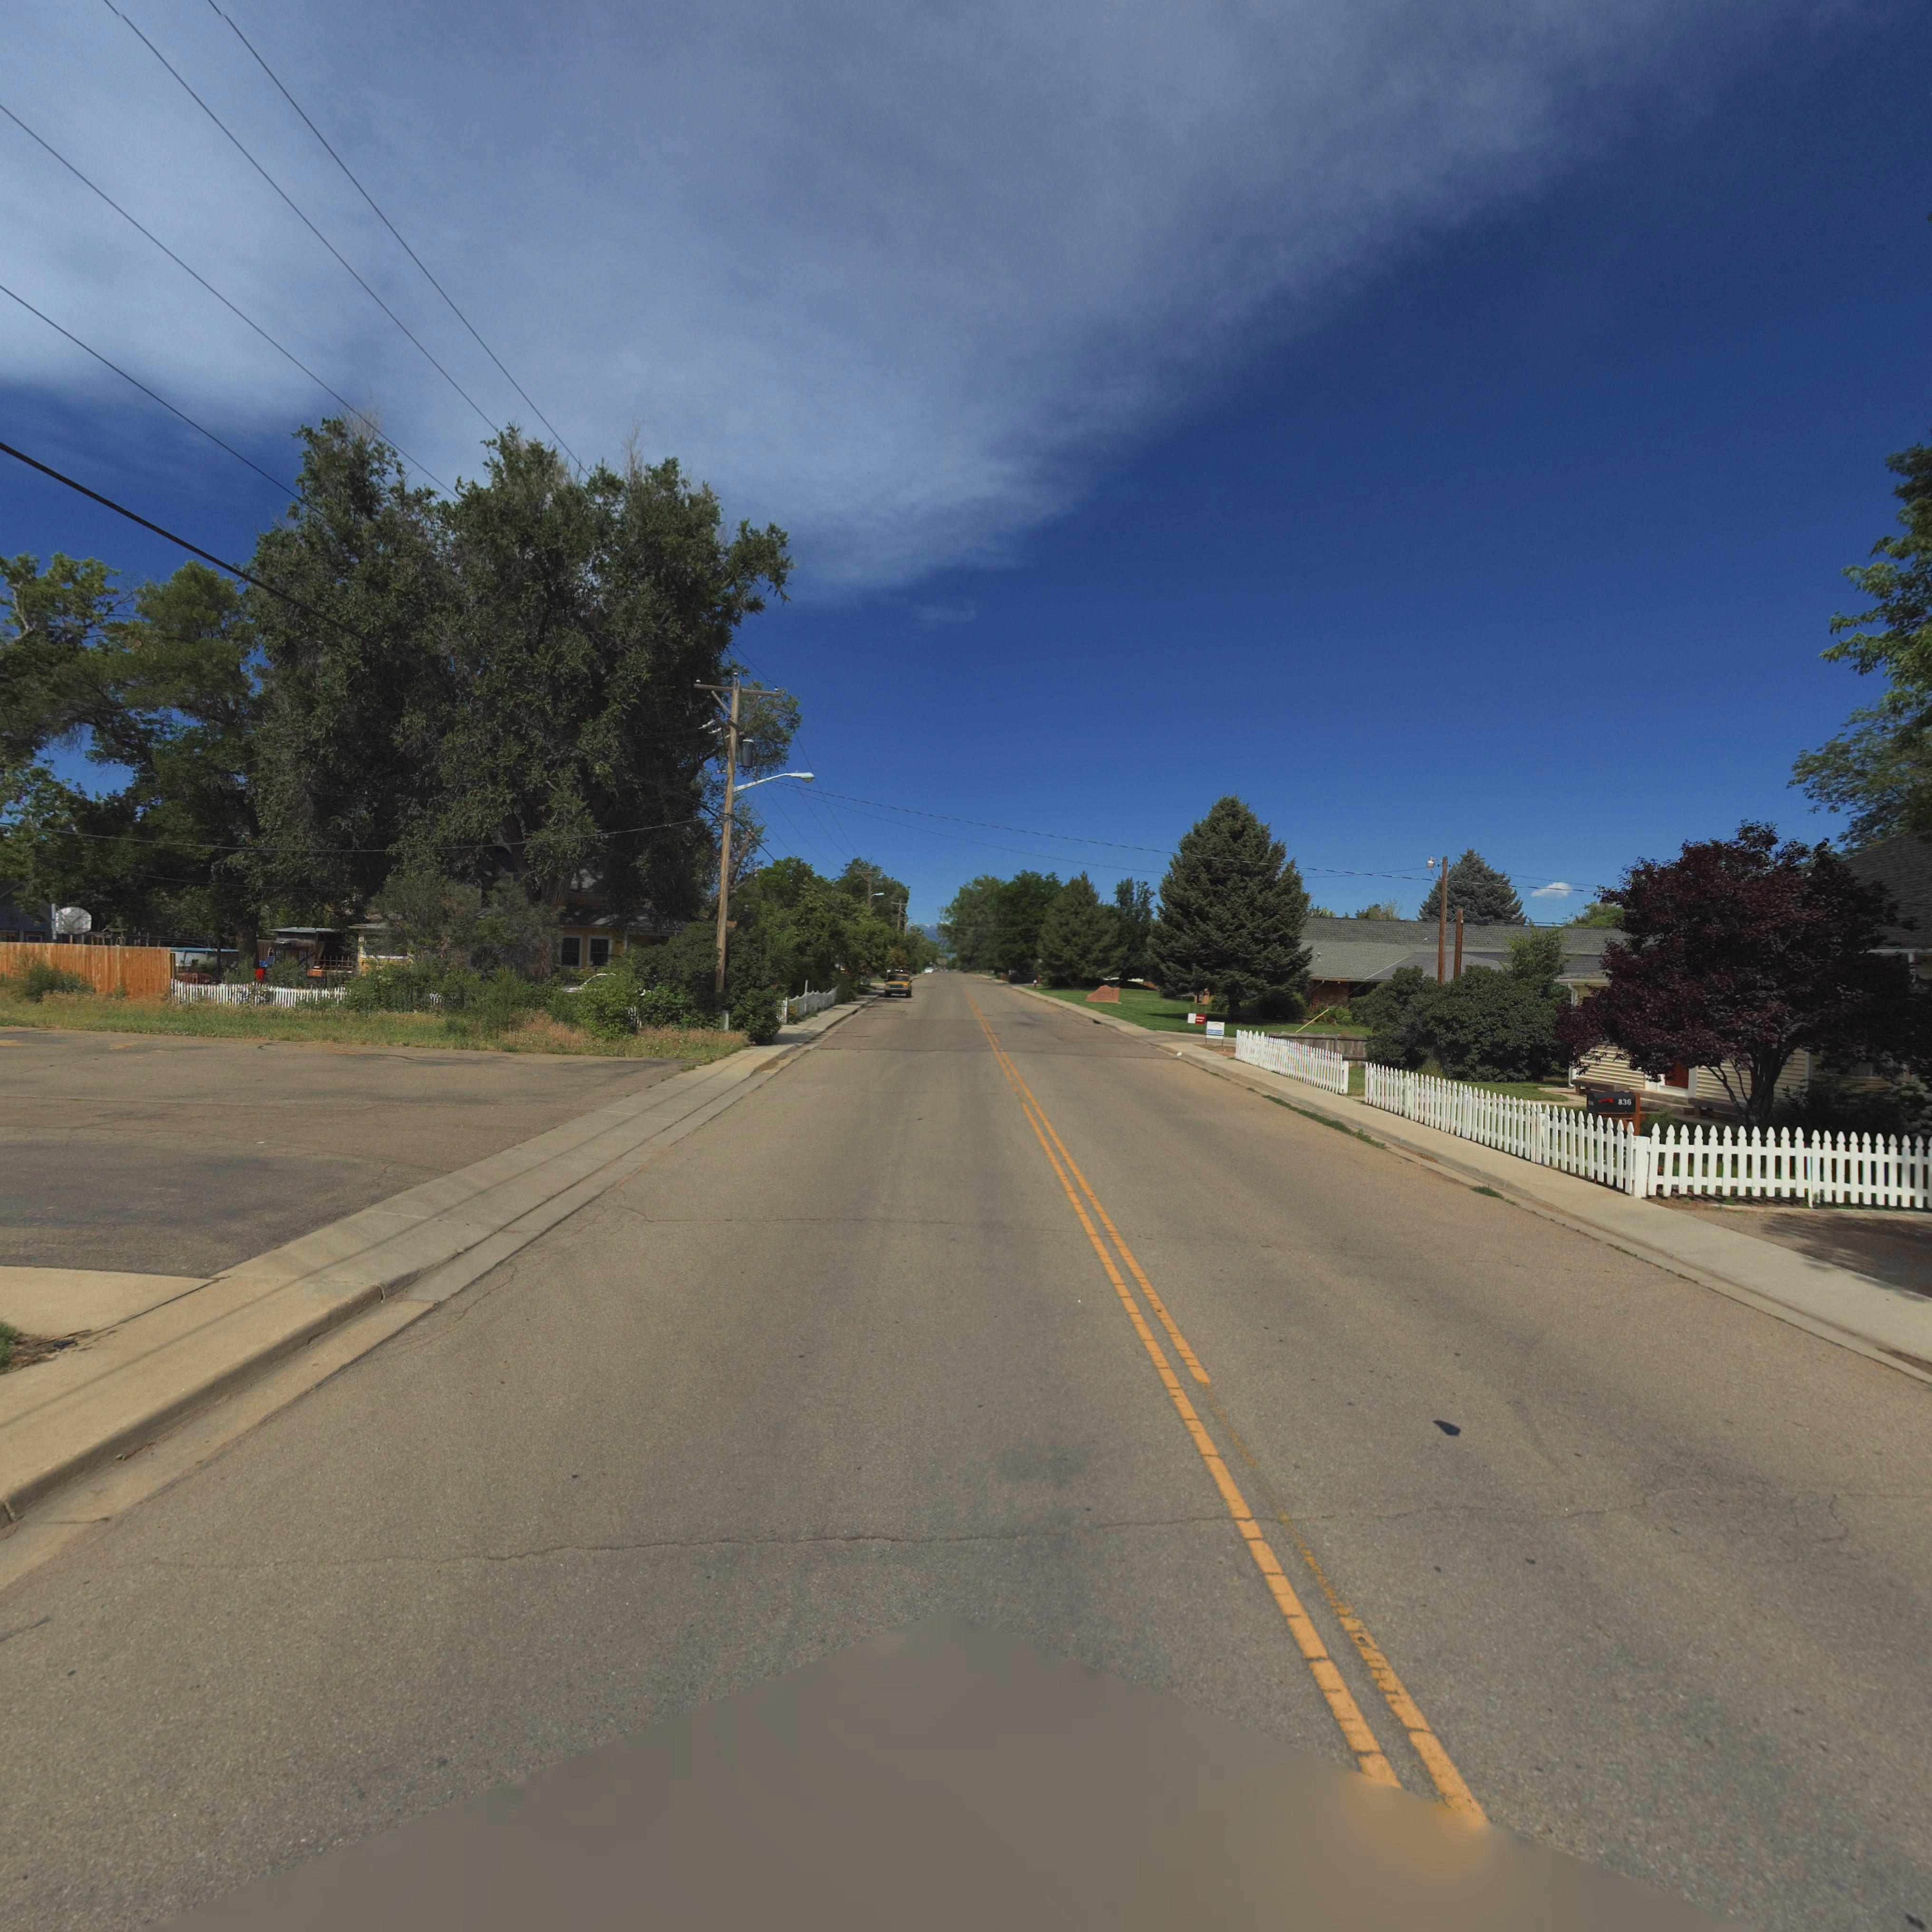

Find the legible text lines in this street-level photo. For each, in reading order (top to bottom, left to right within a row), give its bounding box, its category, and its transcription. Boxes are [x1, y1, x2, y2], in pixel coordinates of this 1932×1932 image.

[1617, 1098, 1632, 1105] StreetNumber: 836